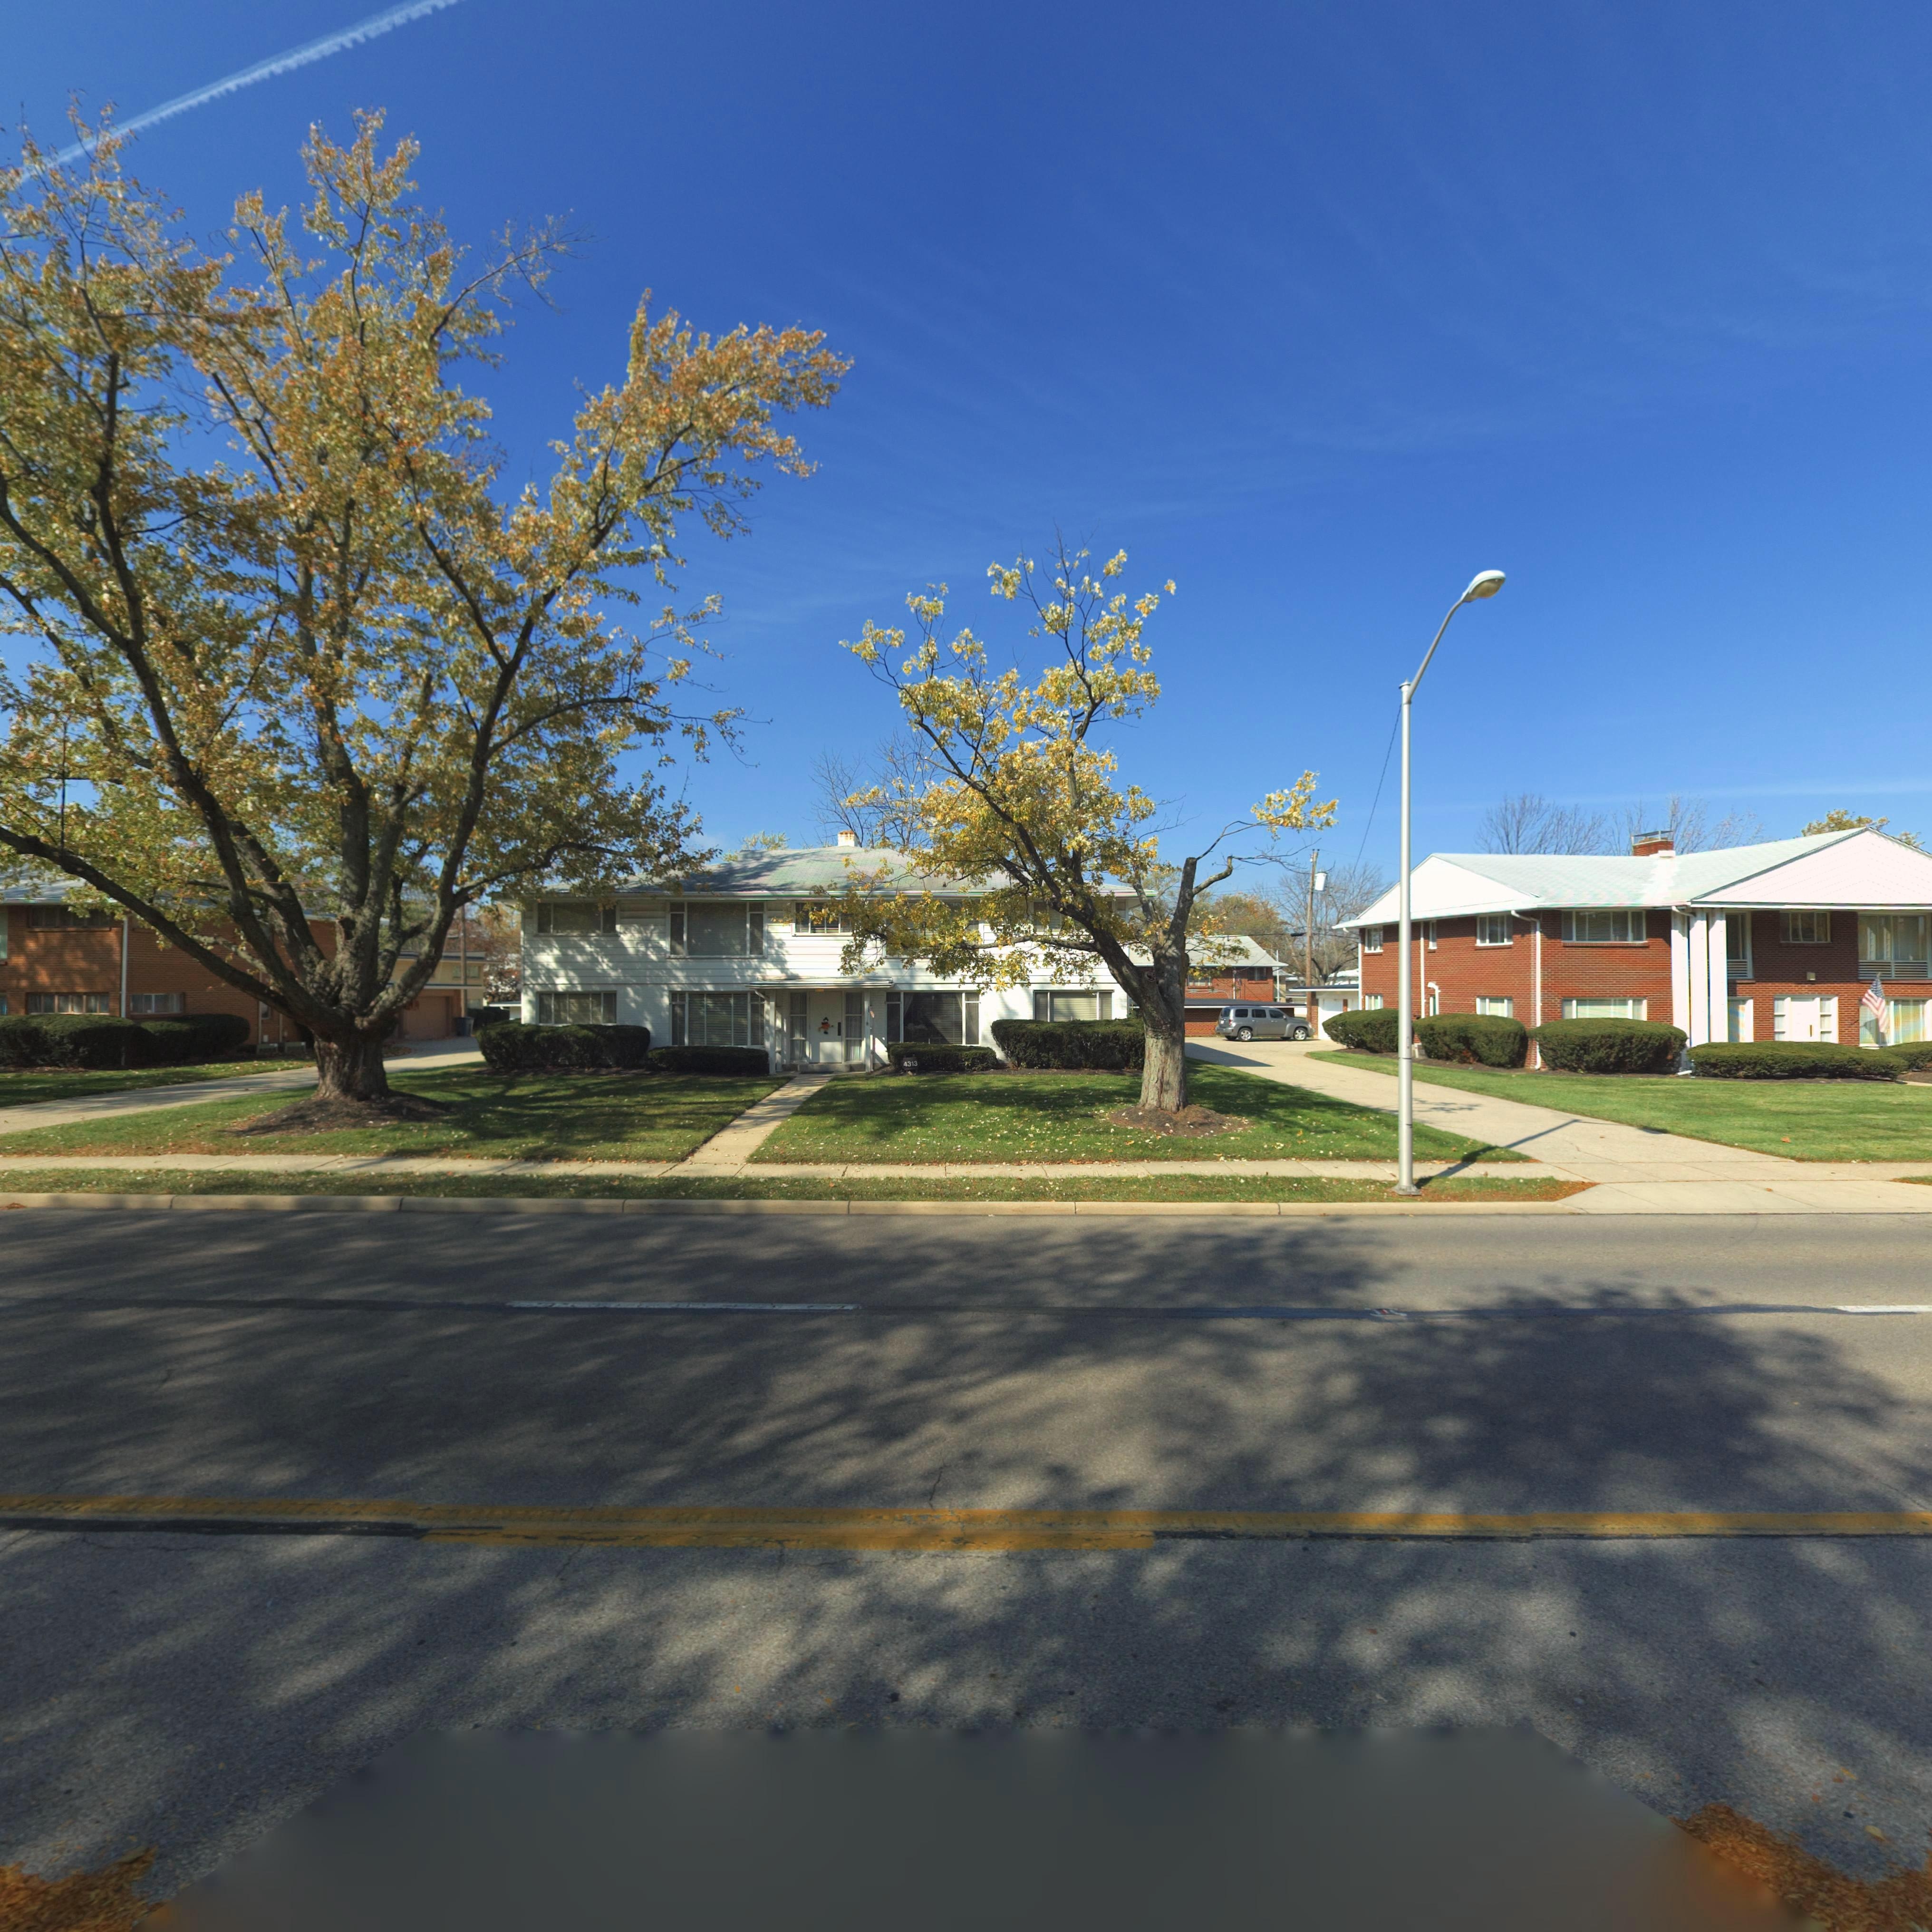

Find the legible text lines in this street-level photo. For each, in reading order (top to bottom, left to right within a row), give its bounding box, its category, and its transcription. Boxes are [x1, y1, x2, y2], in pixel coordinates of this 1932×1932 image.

[902, 1060, 918, 1068] StreetNumber: 4313